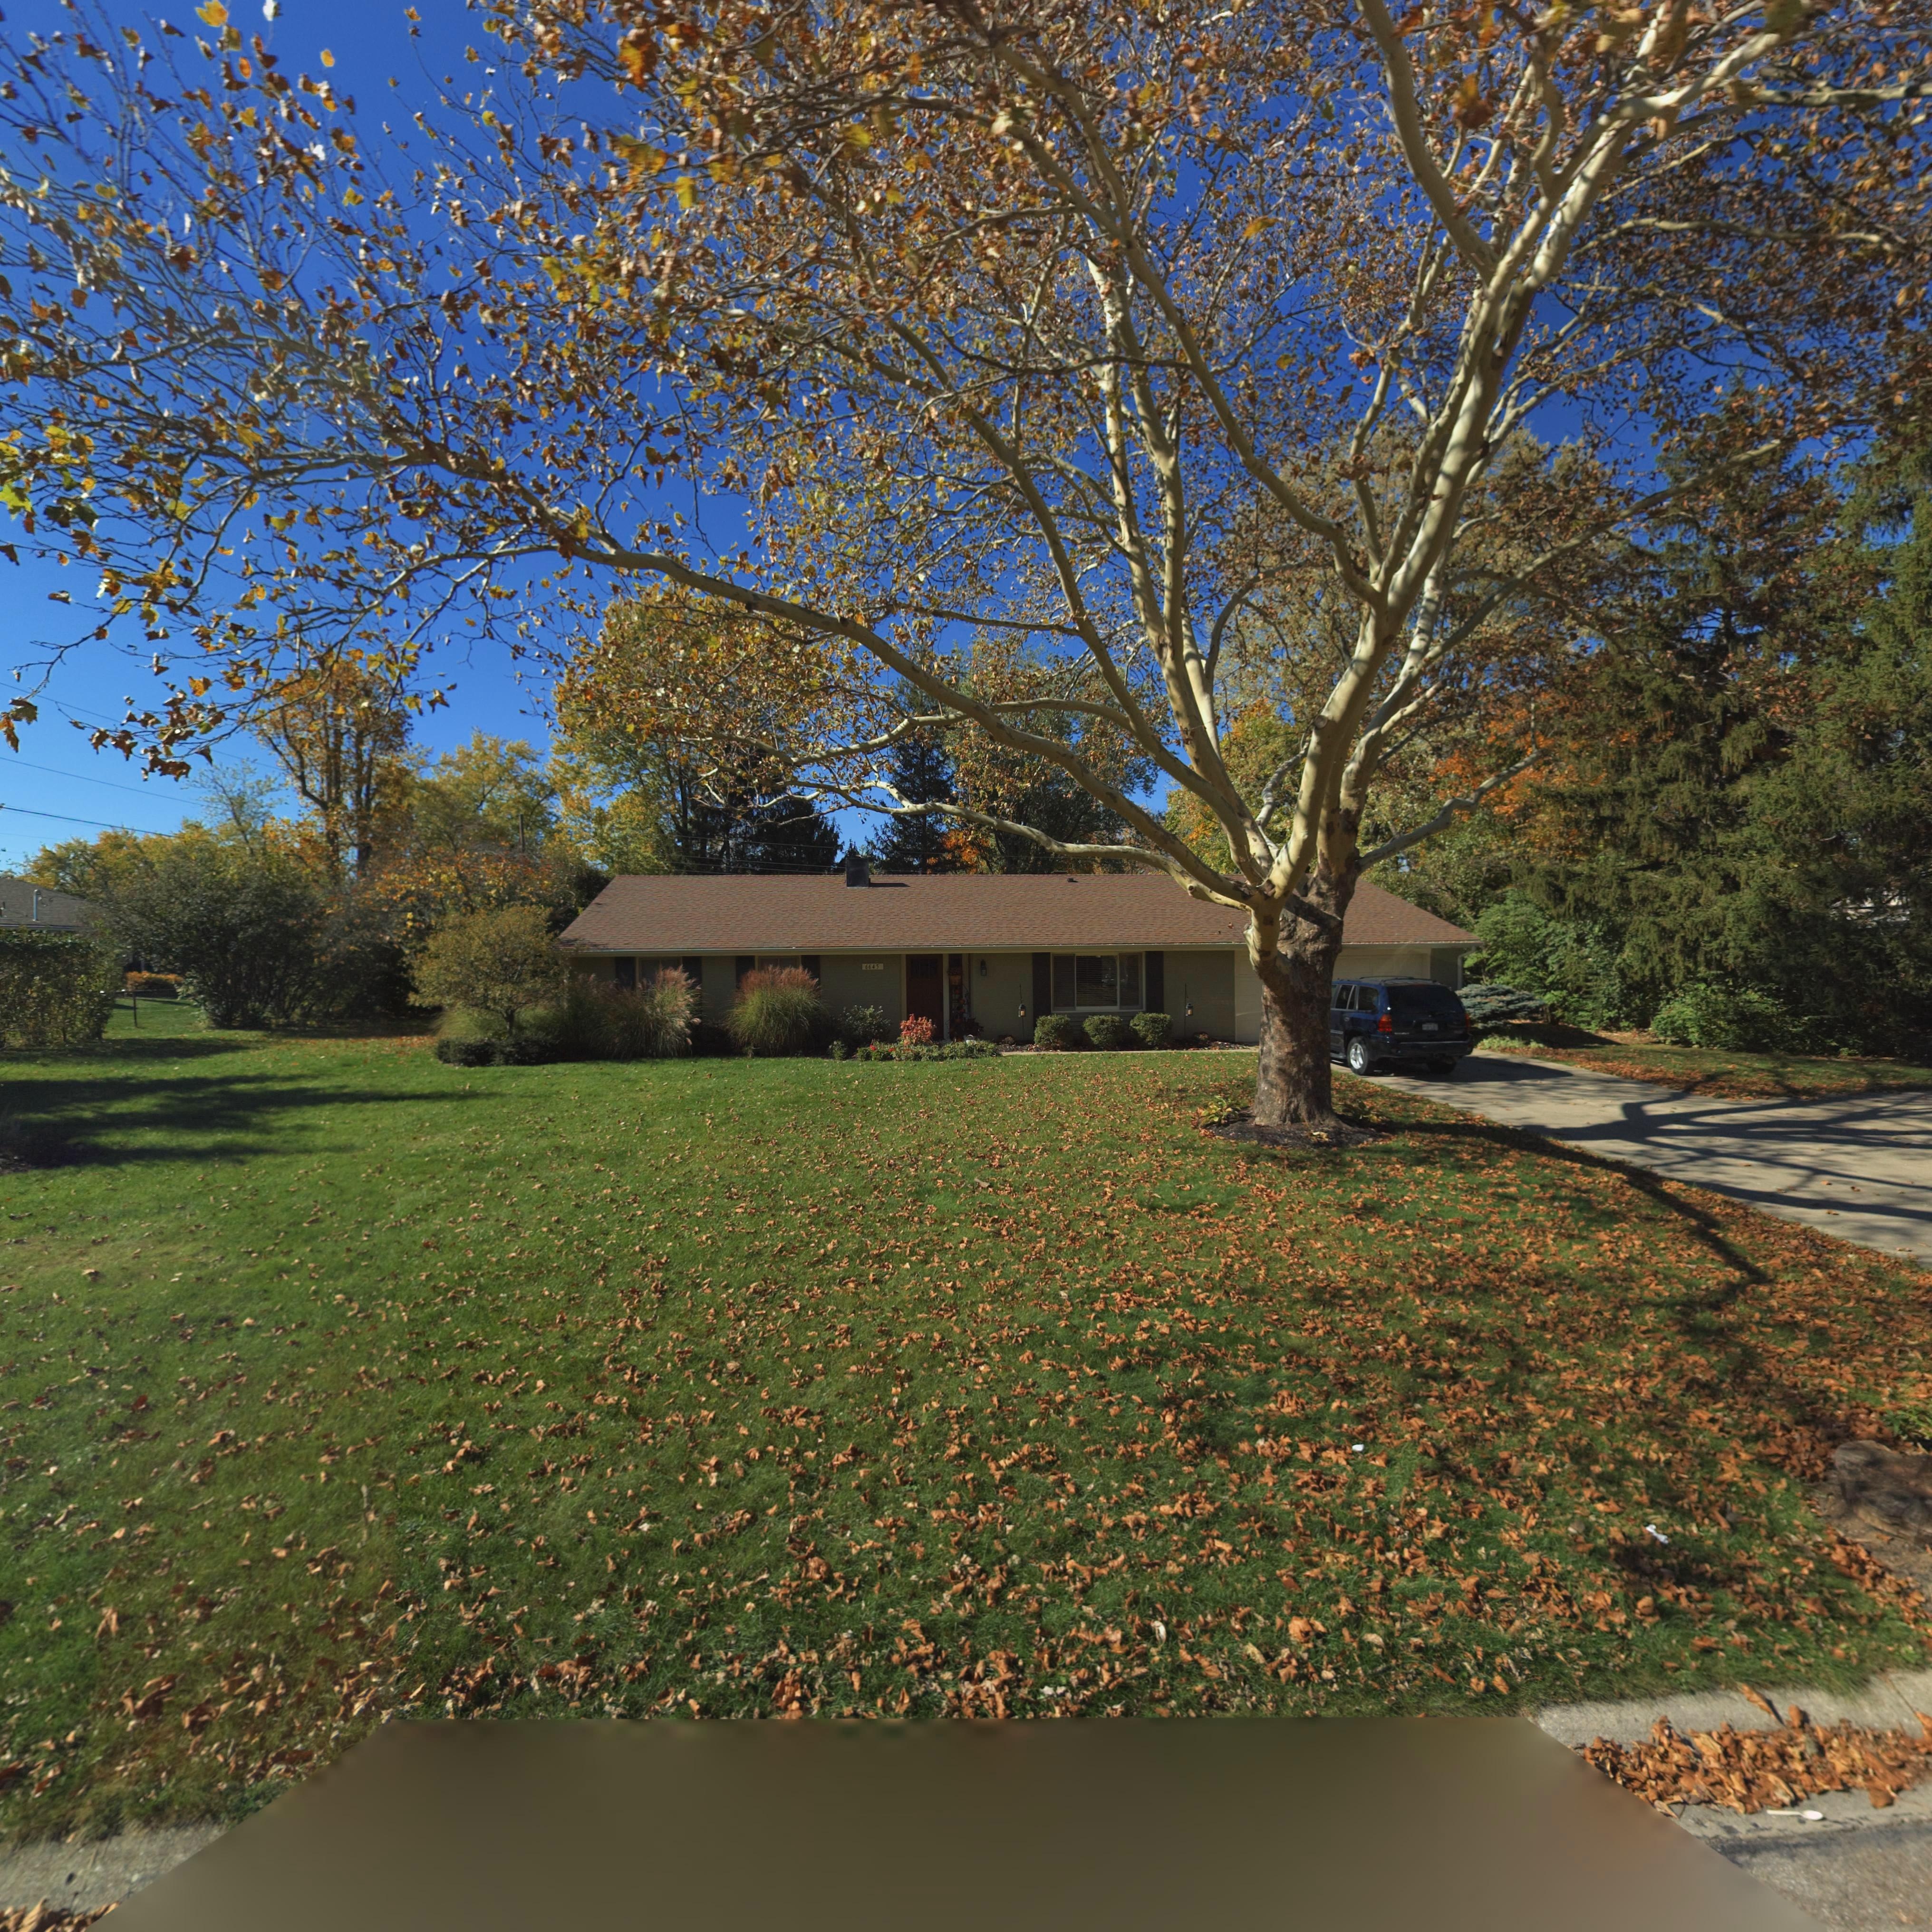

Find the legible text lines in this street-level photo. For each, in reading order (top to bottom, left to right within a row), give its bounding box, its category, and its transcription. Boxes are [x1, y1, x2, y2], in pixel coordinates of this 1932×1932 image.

[865, 964, 879, 970] StreetNumber: 6645